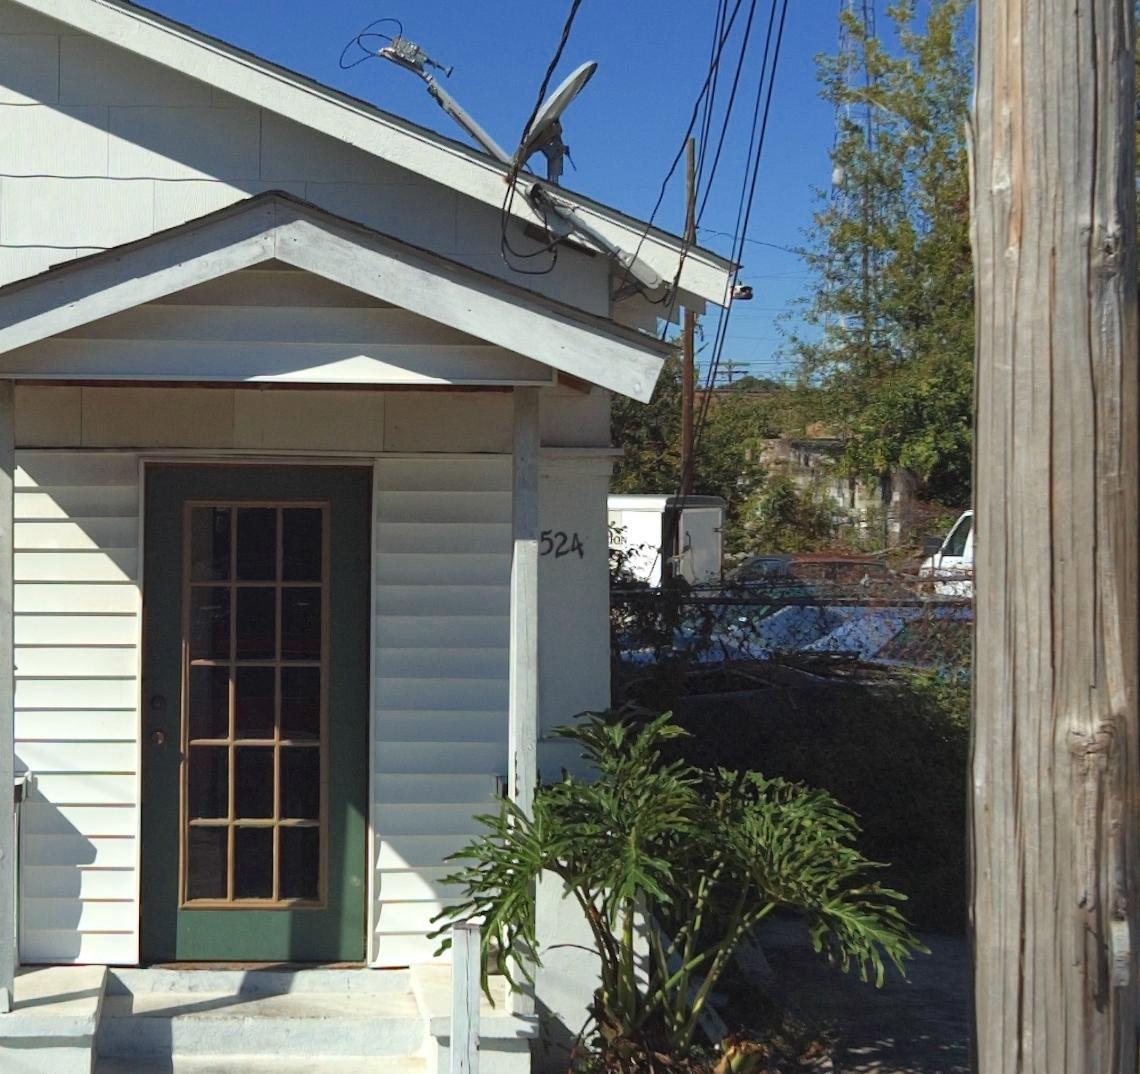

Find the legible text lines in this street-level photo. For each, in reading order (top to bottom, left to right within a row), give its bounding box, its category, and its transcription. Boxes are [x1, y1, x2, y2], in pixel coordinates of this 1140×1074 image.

[538, 527, 587, 561] StreetNumber: 524
[611, 533, 630, 547] None: ON